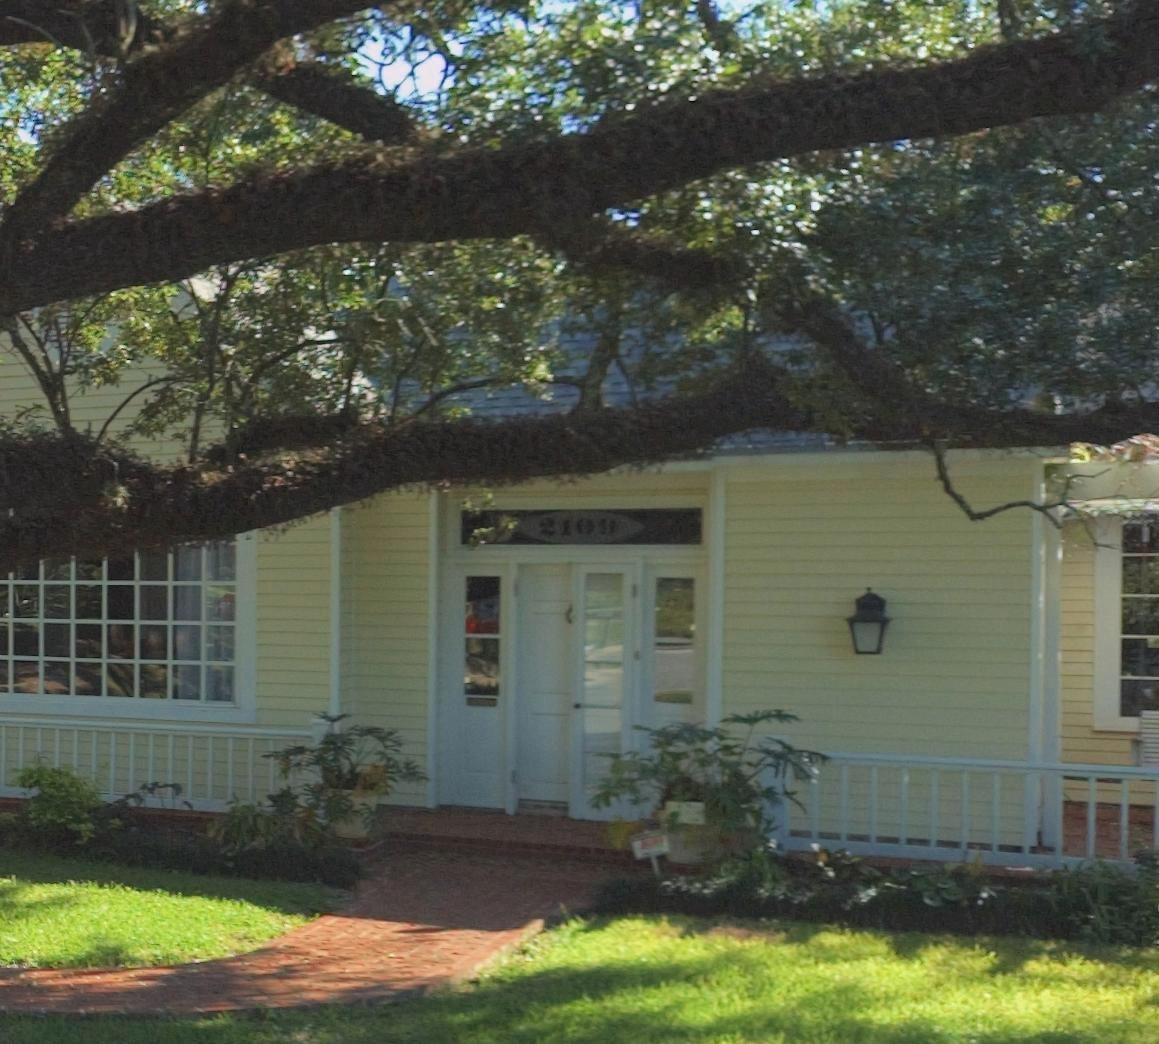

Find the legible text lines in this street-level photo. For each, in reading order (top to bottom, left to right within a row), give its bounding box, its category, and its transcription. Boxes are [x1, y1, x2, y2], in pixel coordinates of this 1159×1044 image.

[536, 516, 620, 539] StreetNumber: 2109